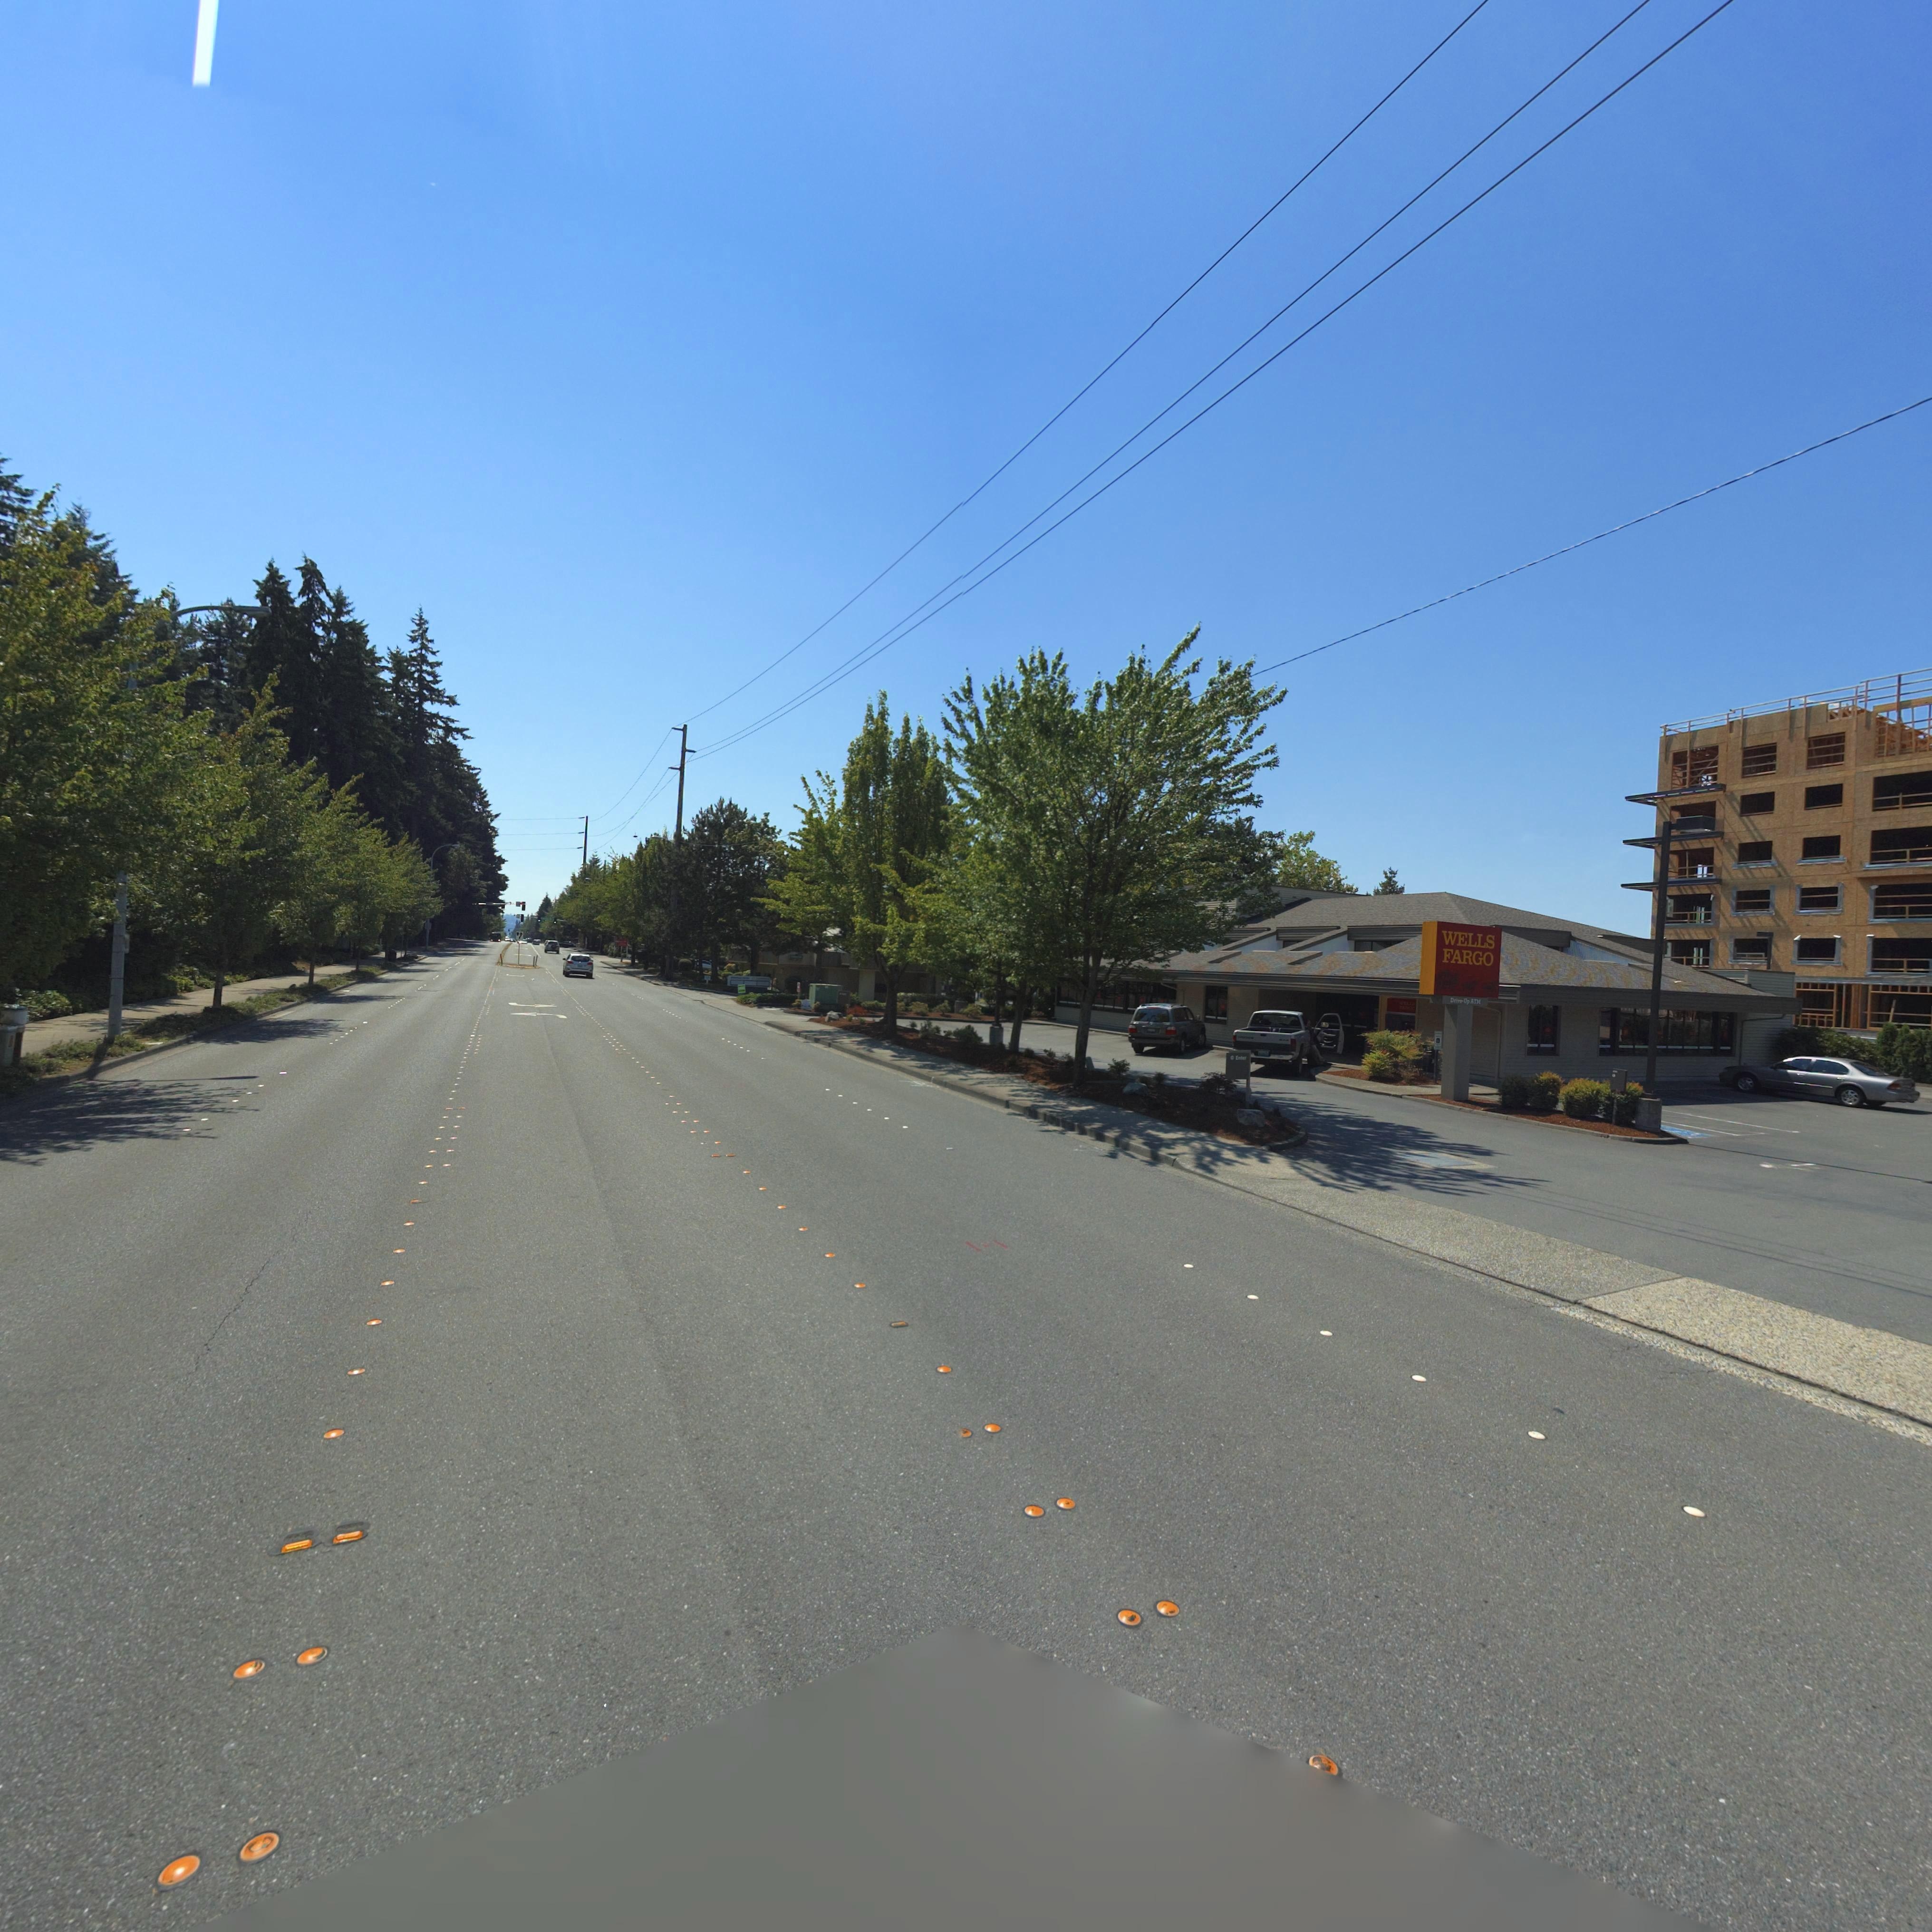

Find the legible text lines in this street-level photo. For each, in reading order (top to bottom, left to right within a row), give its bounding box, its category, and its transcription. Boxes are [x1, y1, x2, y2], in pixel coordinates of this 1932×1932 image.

[1441, 930, 1496, 949] BusinessName: WELLS
[1442, 947, 1494, 967] BusinessName: FARGO